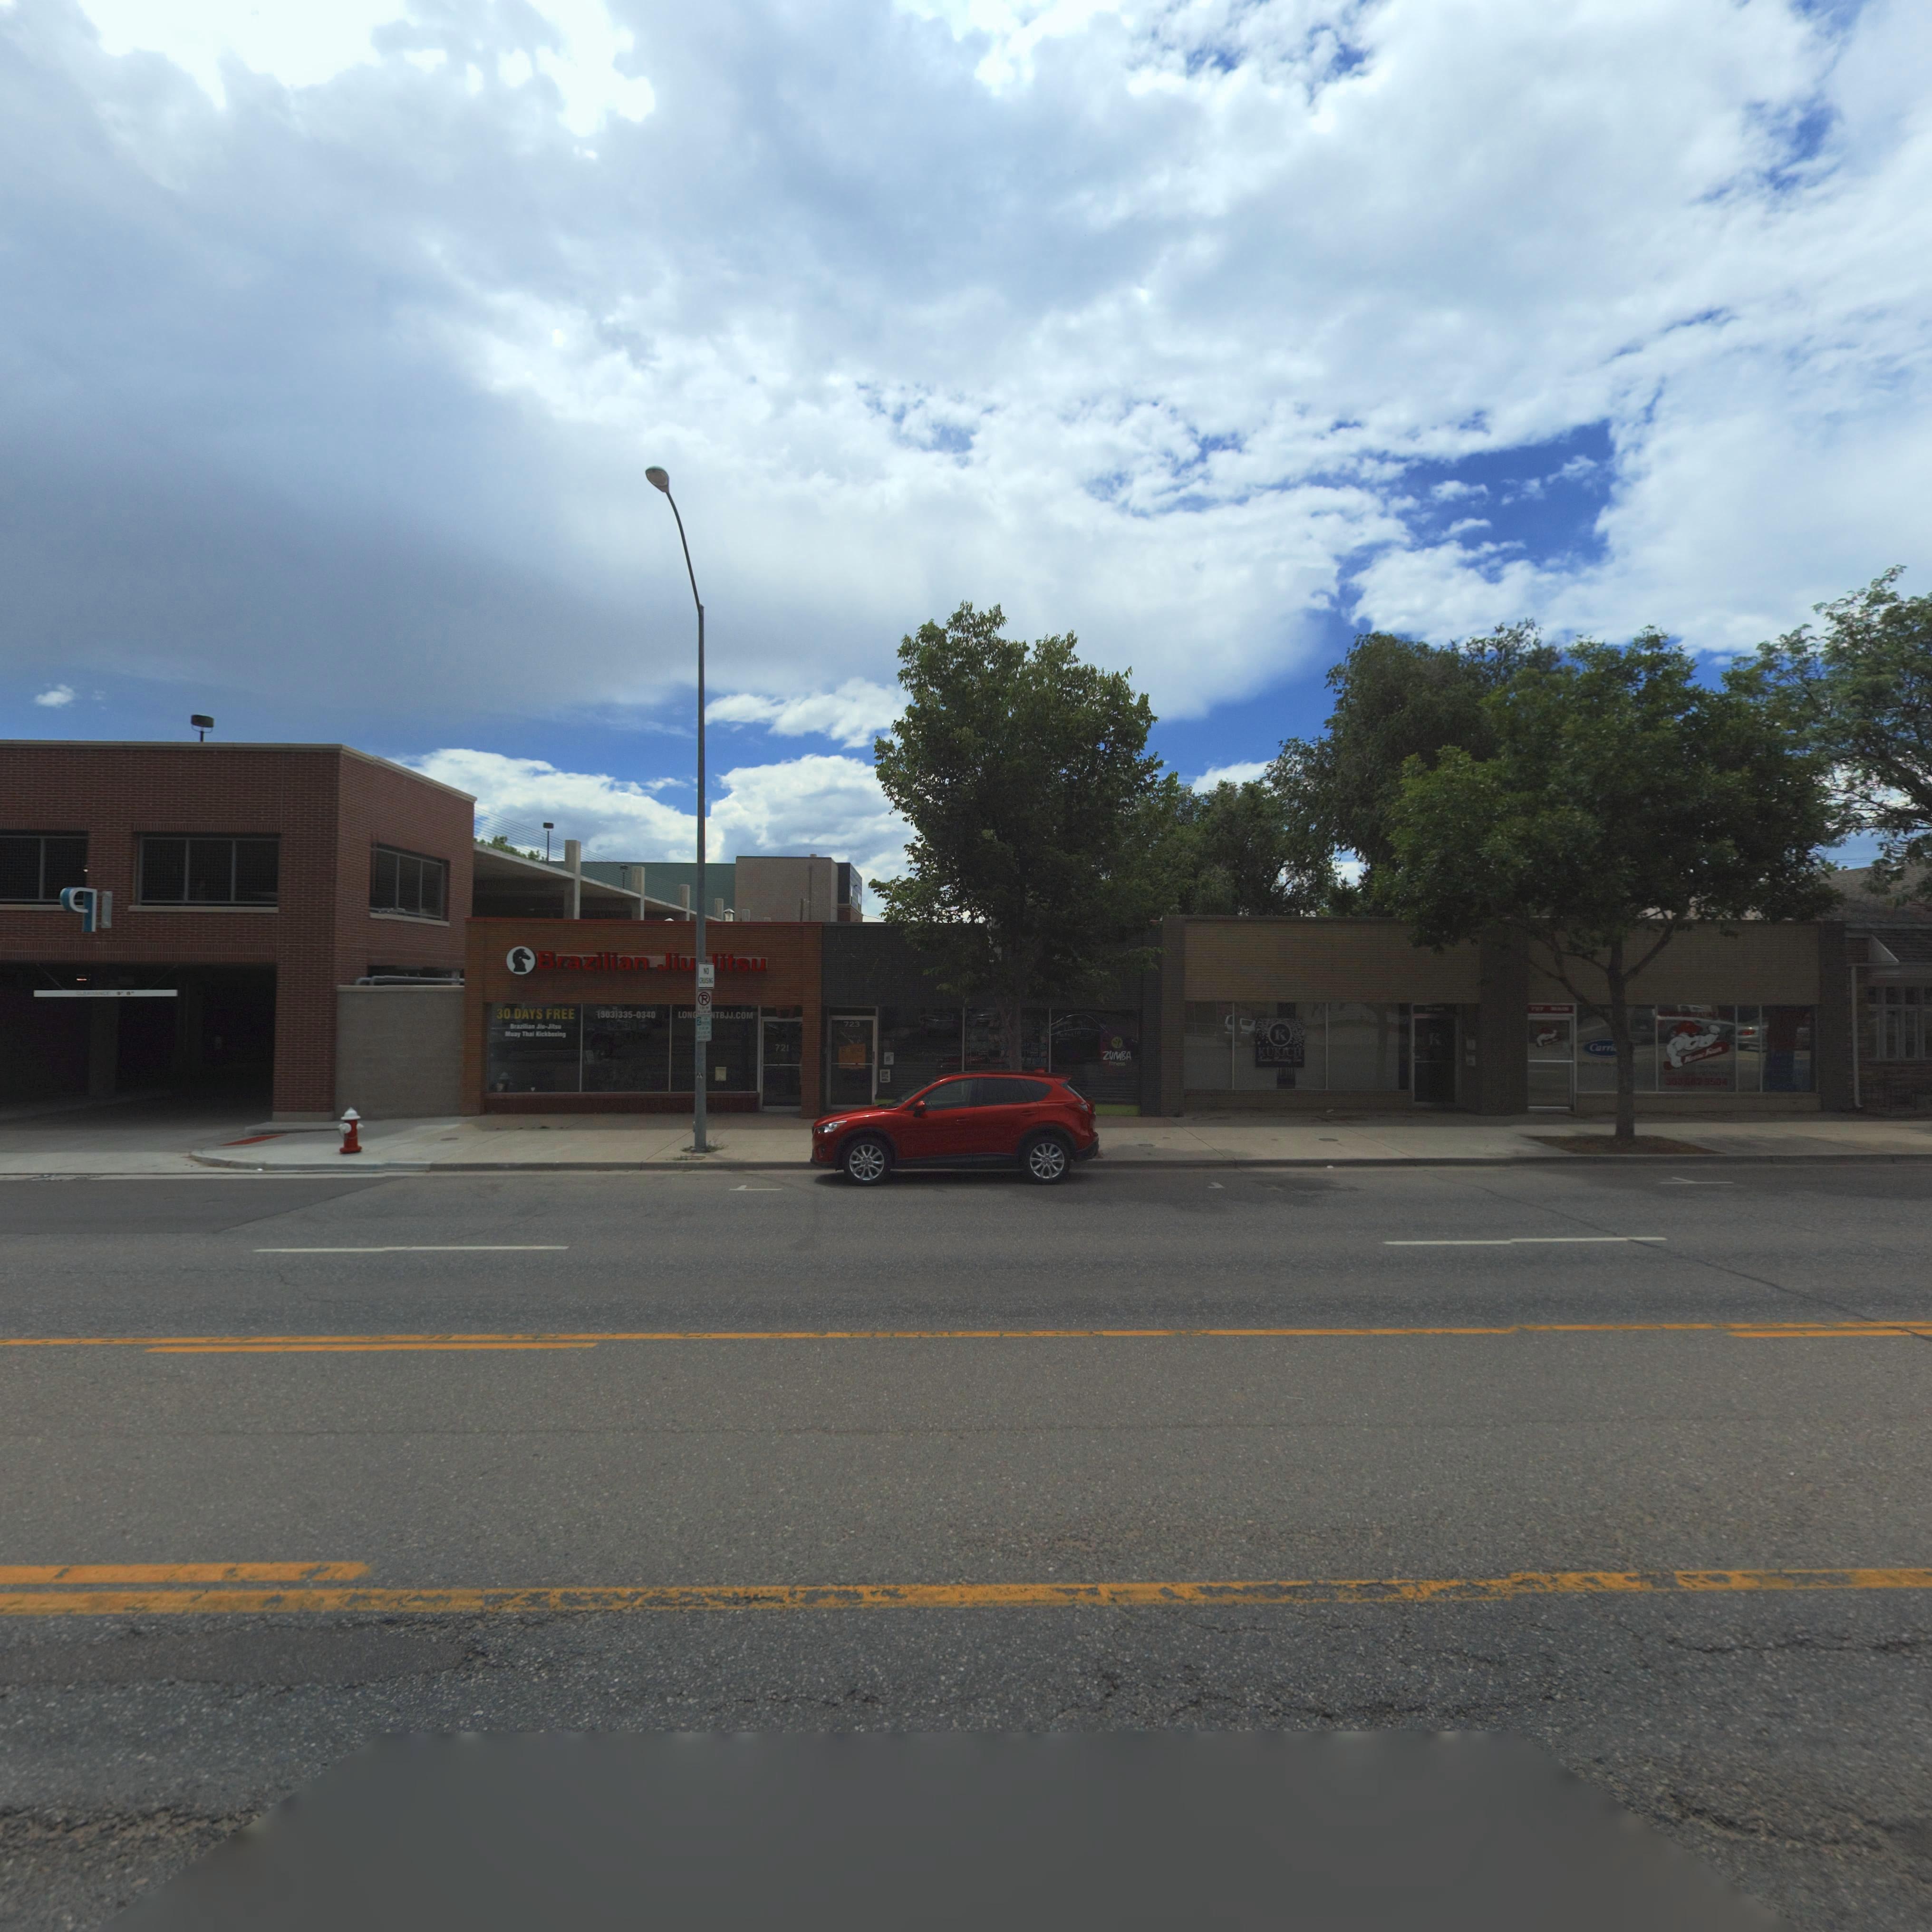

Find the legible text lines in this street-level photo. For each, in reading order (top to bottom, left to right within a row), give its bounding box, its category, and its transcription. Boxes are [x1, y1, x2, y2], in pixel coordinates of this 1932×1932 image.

[843, 1021, 860, 1027] StreetNumber: 723
[774, 1043, 789, 1052] StreetNumber: 721
[1257, 1047, 1302, 1056] BusinessName: KUKICH